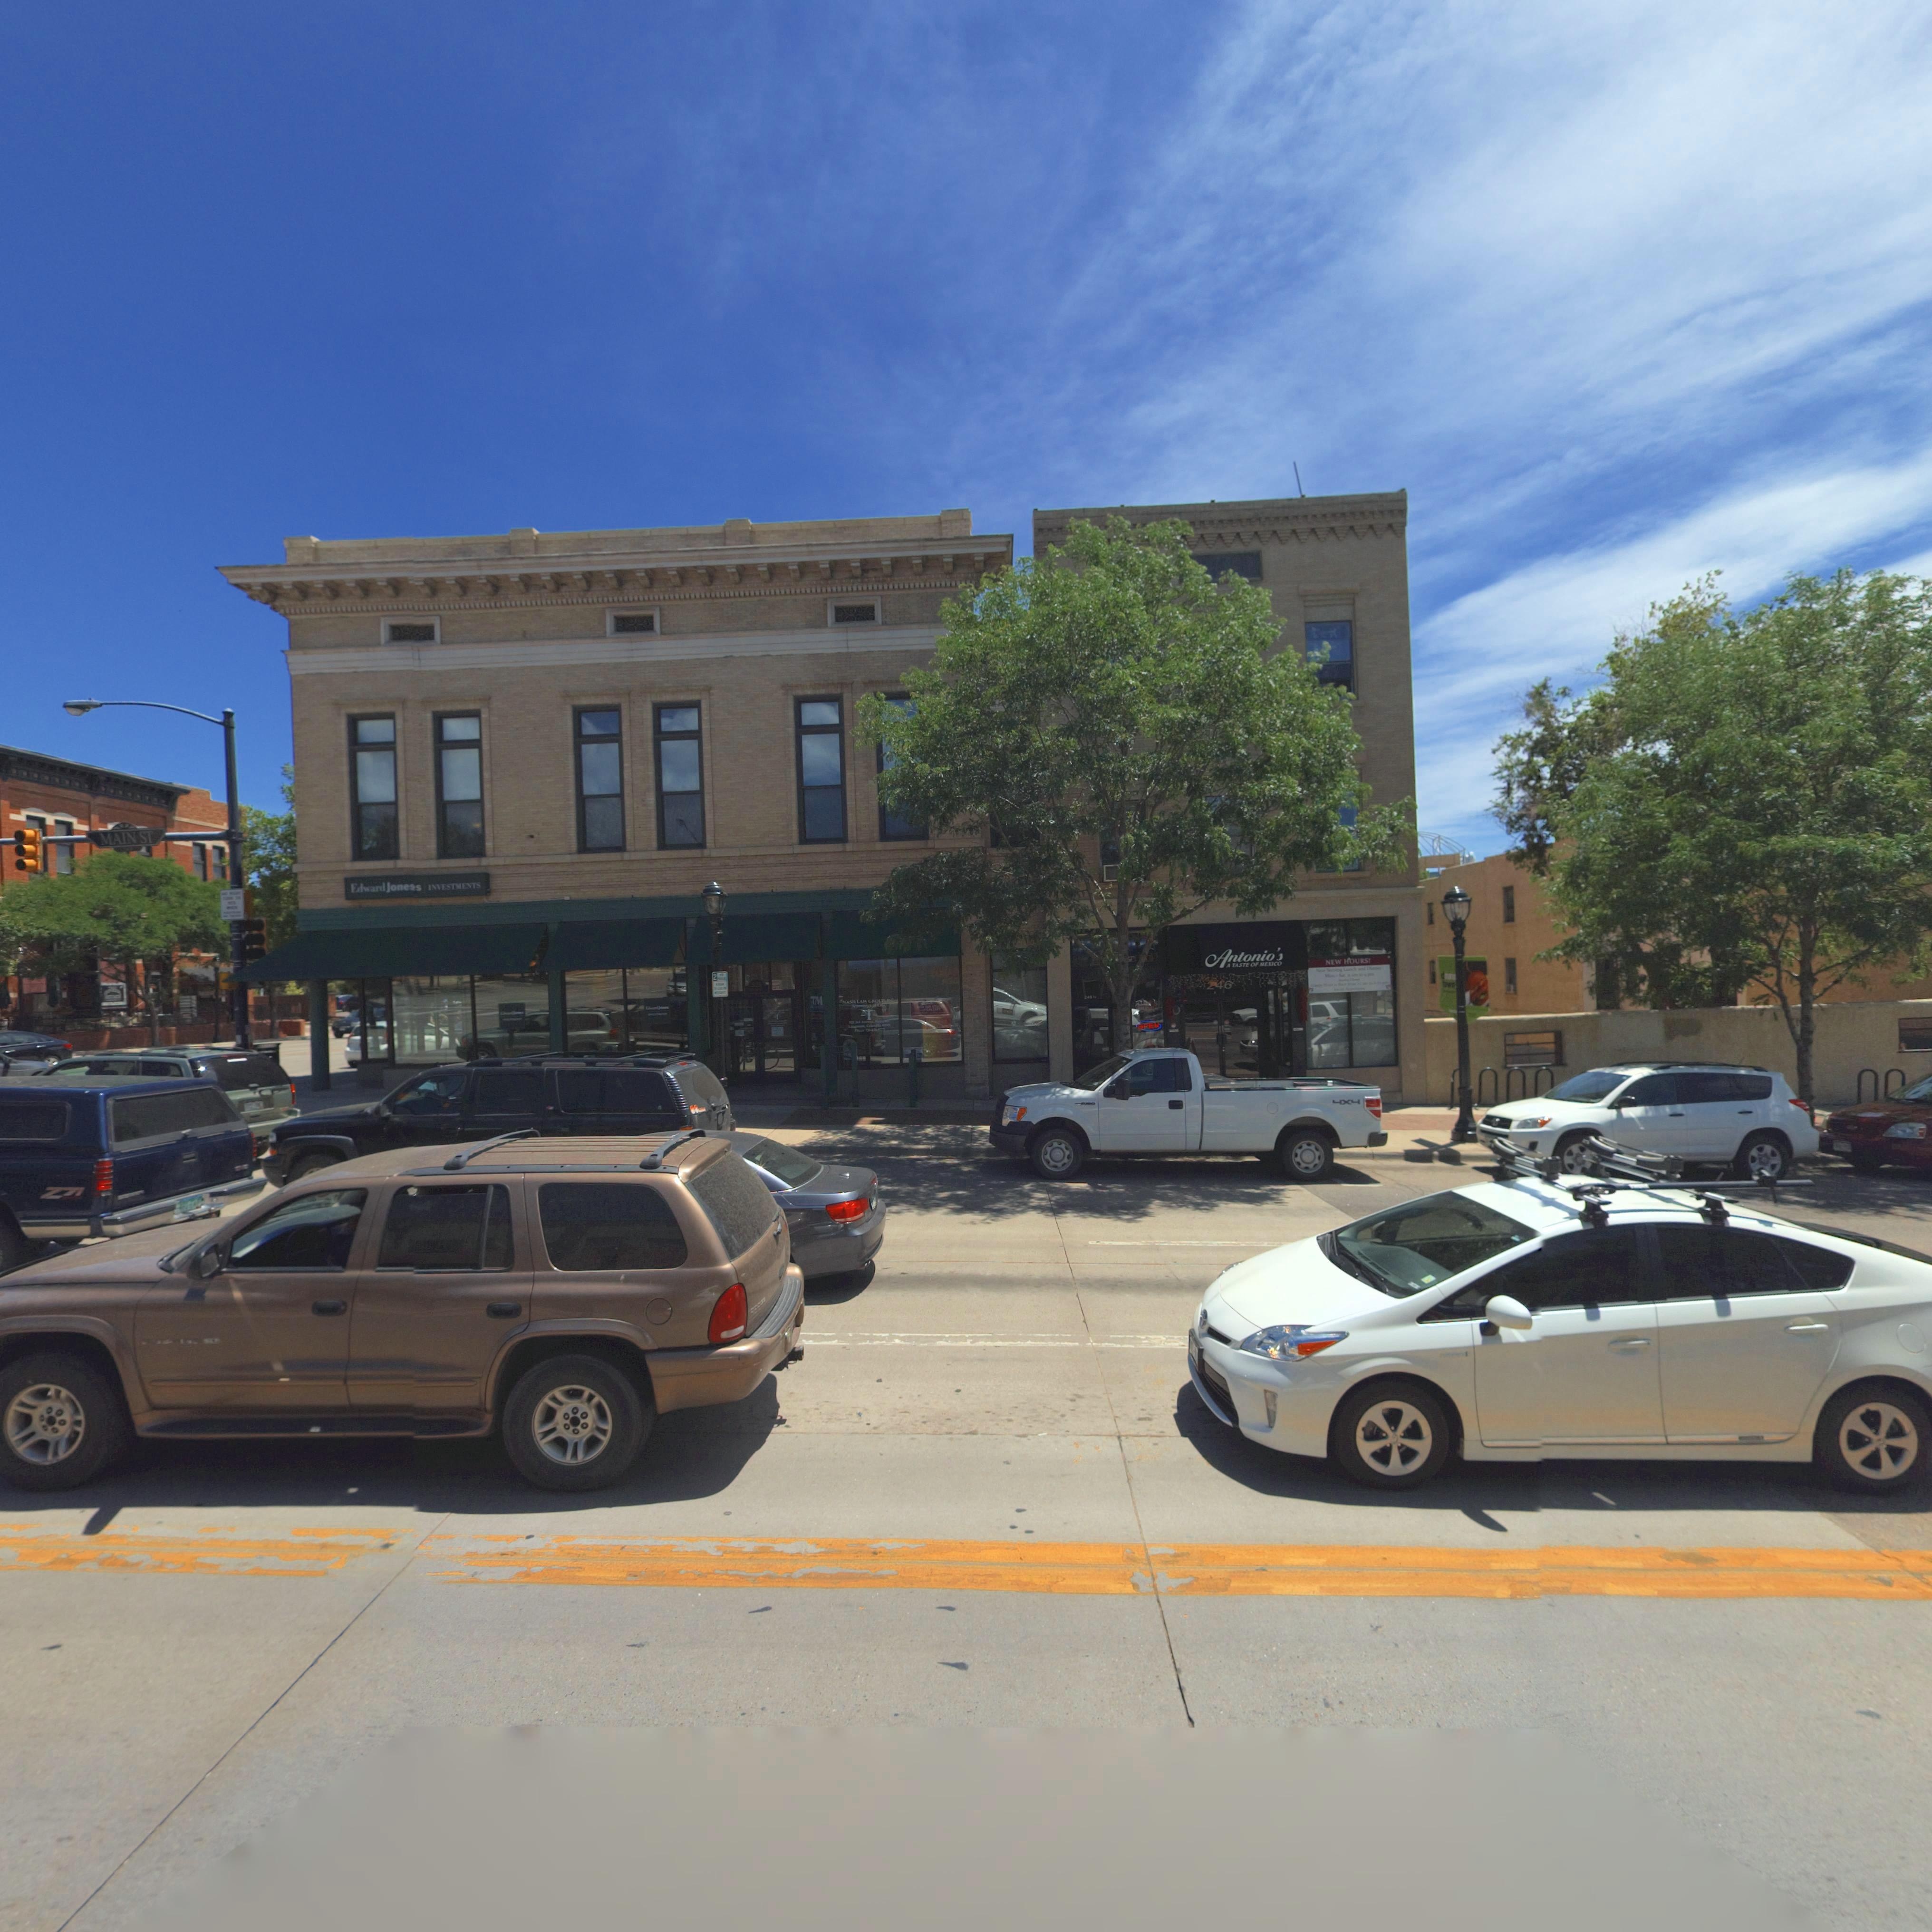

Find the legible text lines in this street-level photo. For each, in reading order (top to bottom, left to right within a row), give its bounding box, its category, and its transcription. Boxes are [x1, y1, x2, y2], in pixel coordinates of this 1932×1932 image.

[98, 830, 154, 846] StreetName: MAIN ST
[349, 881, 482, 894] BusinessName: Edward Jone*s INVESTMENTS
[1205, 947, 1283, 968] BusinessName: Antonio's
[1225, 961, 1282, 968] BusinessName: A TASTE OF MEXICO
[1206, 980, 1232, 990] StreetNumber: 246
[841, 998, 894, 1004] BusinessName: NASH LAW G**UP P.C